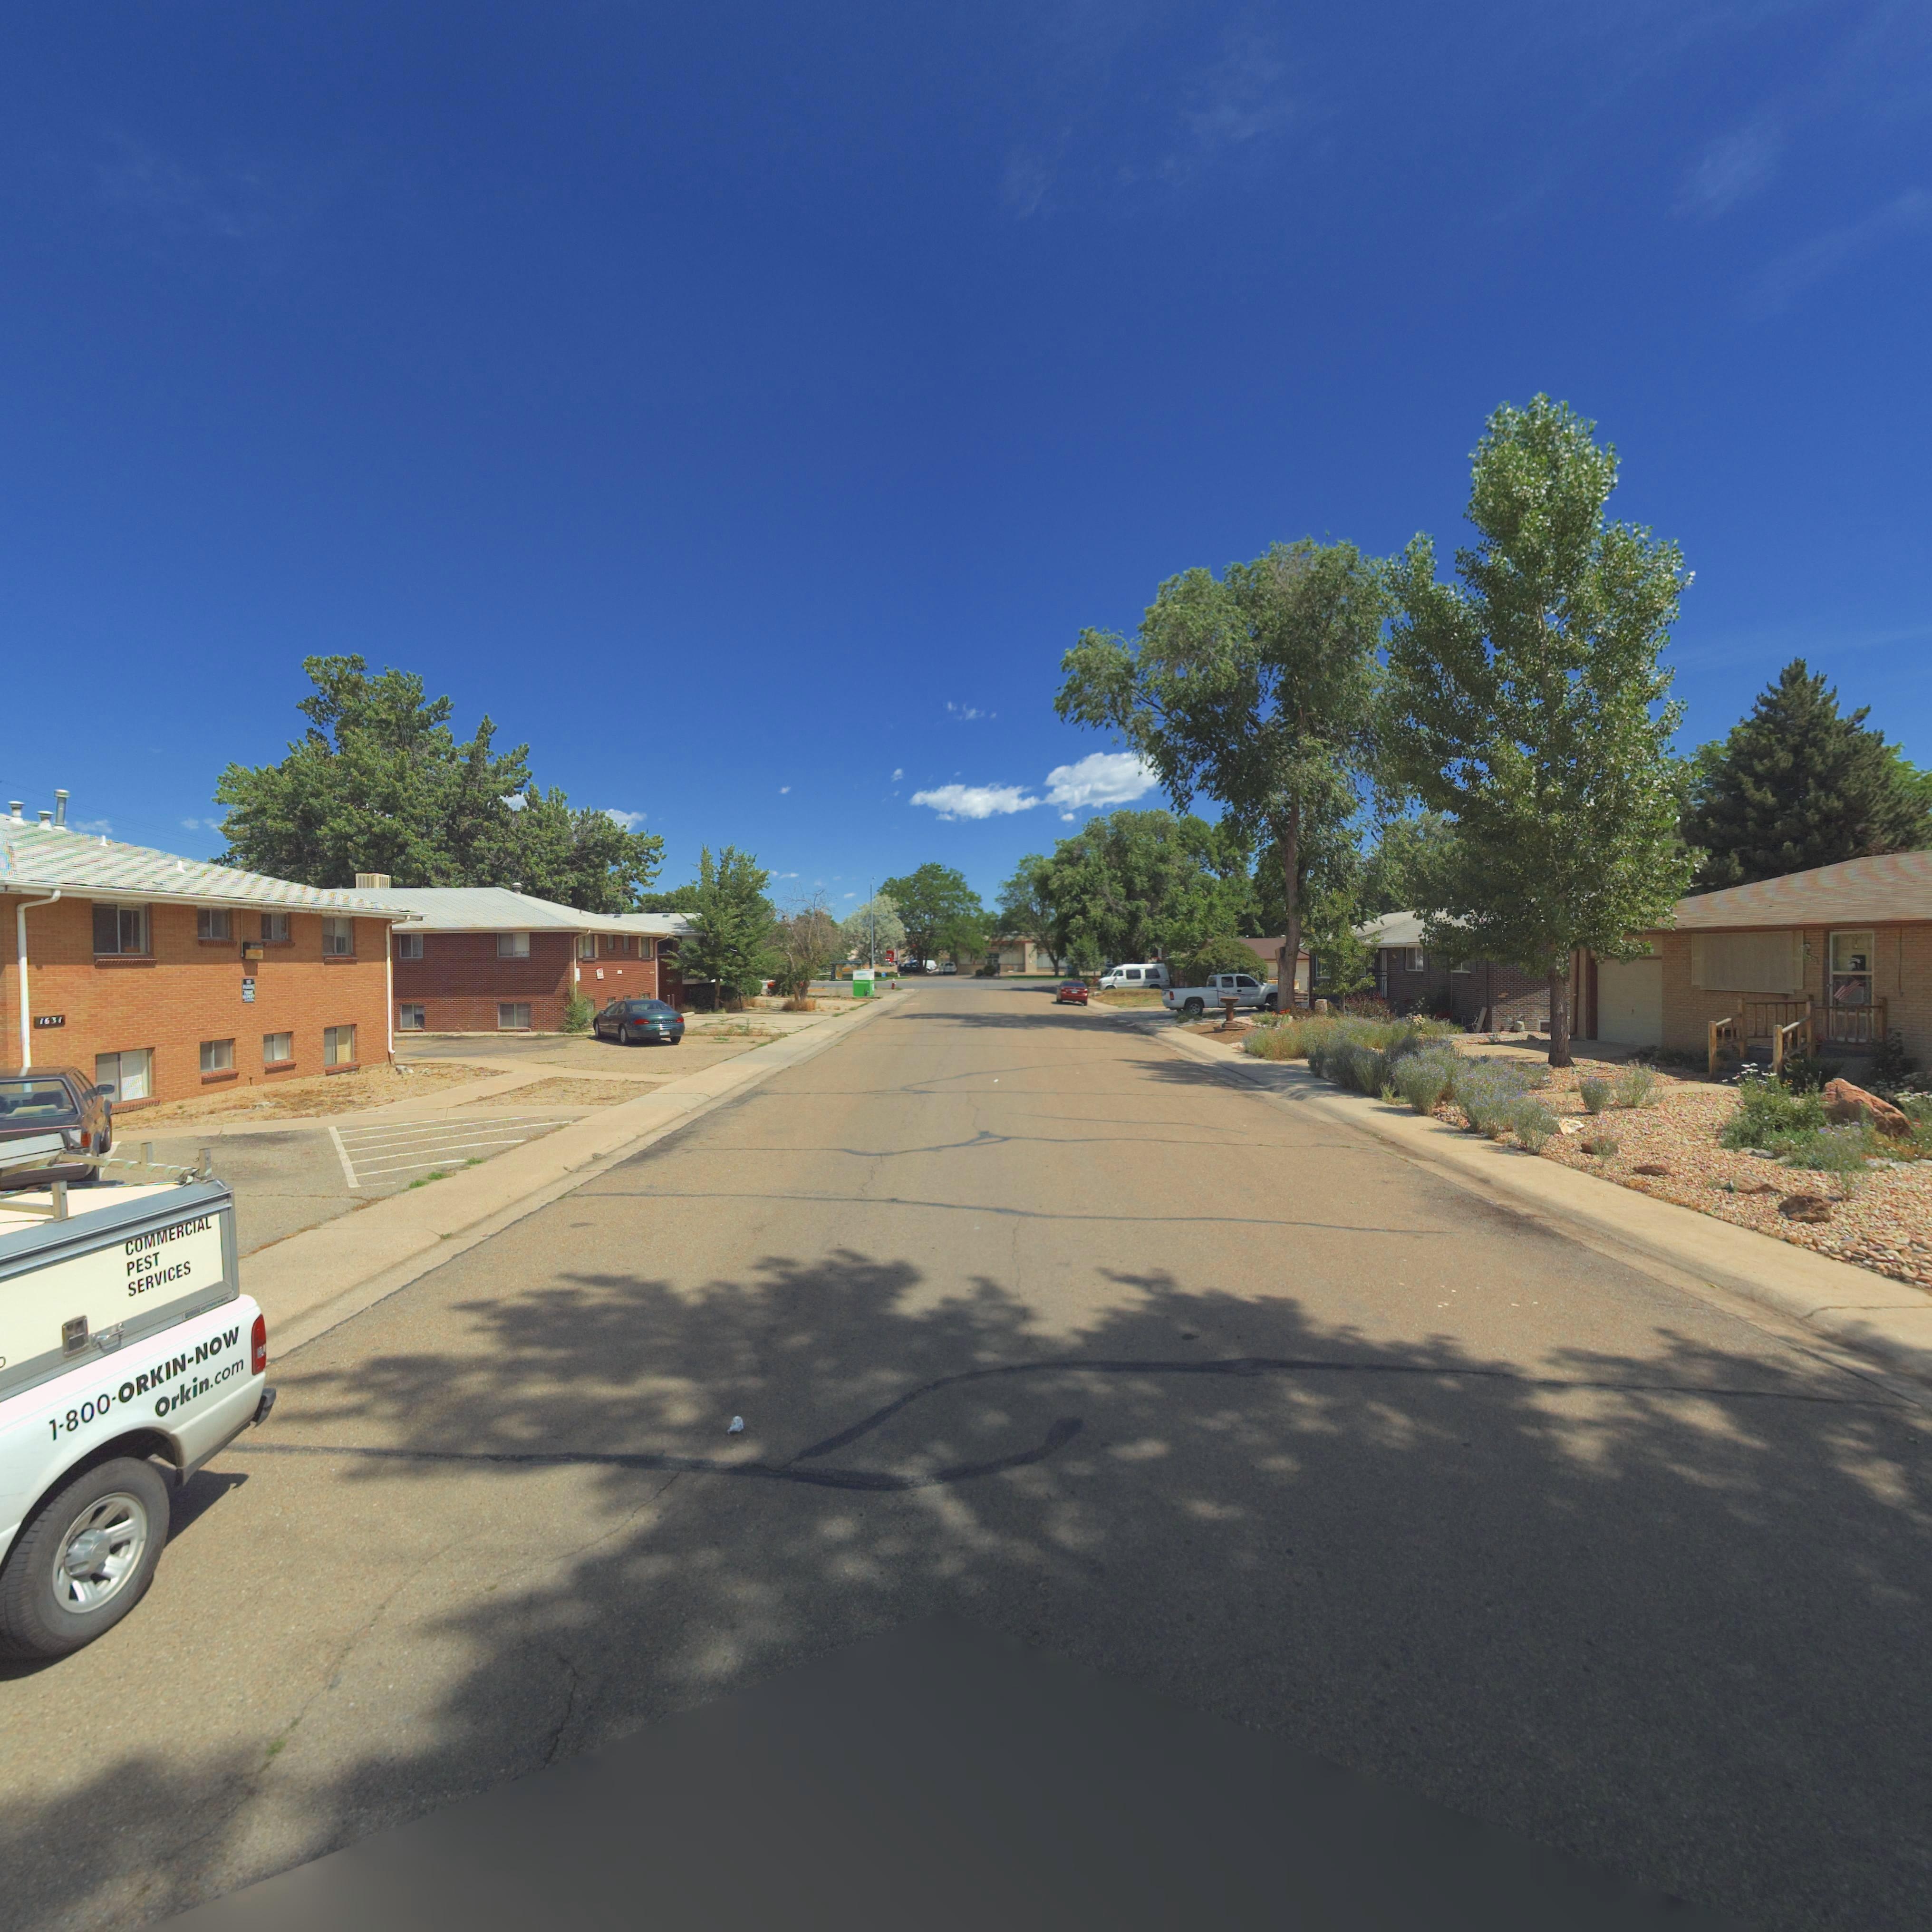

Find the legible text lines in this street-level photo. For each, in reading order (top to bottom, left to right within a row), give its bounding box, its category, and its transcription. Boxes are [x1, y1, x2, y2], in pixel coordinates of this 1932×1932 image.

[1804, 953, 1817, 964] StreetNumber: 1650
[39, 1016, 63, 1024] StreetNumber: 1631